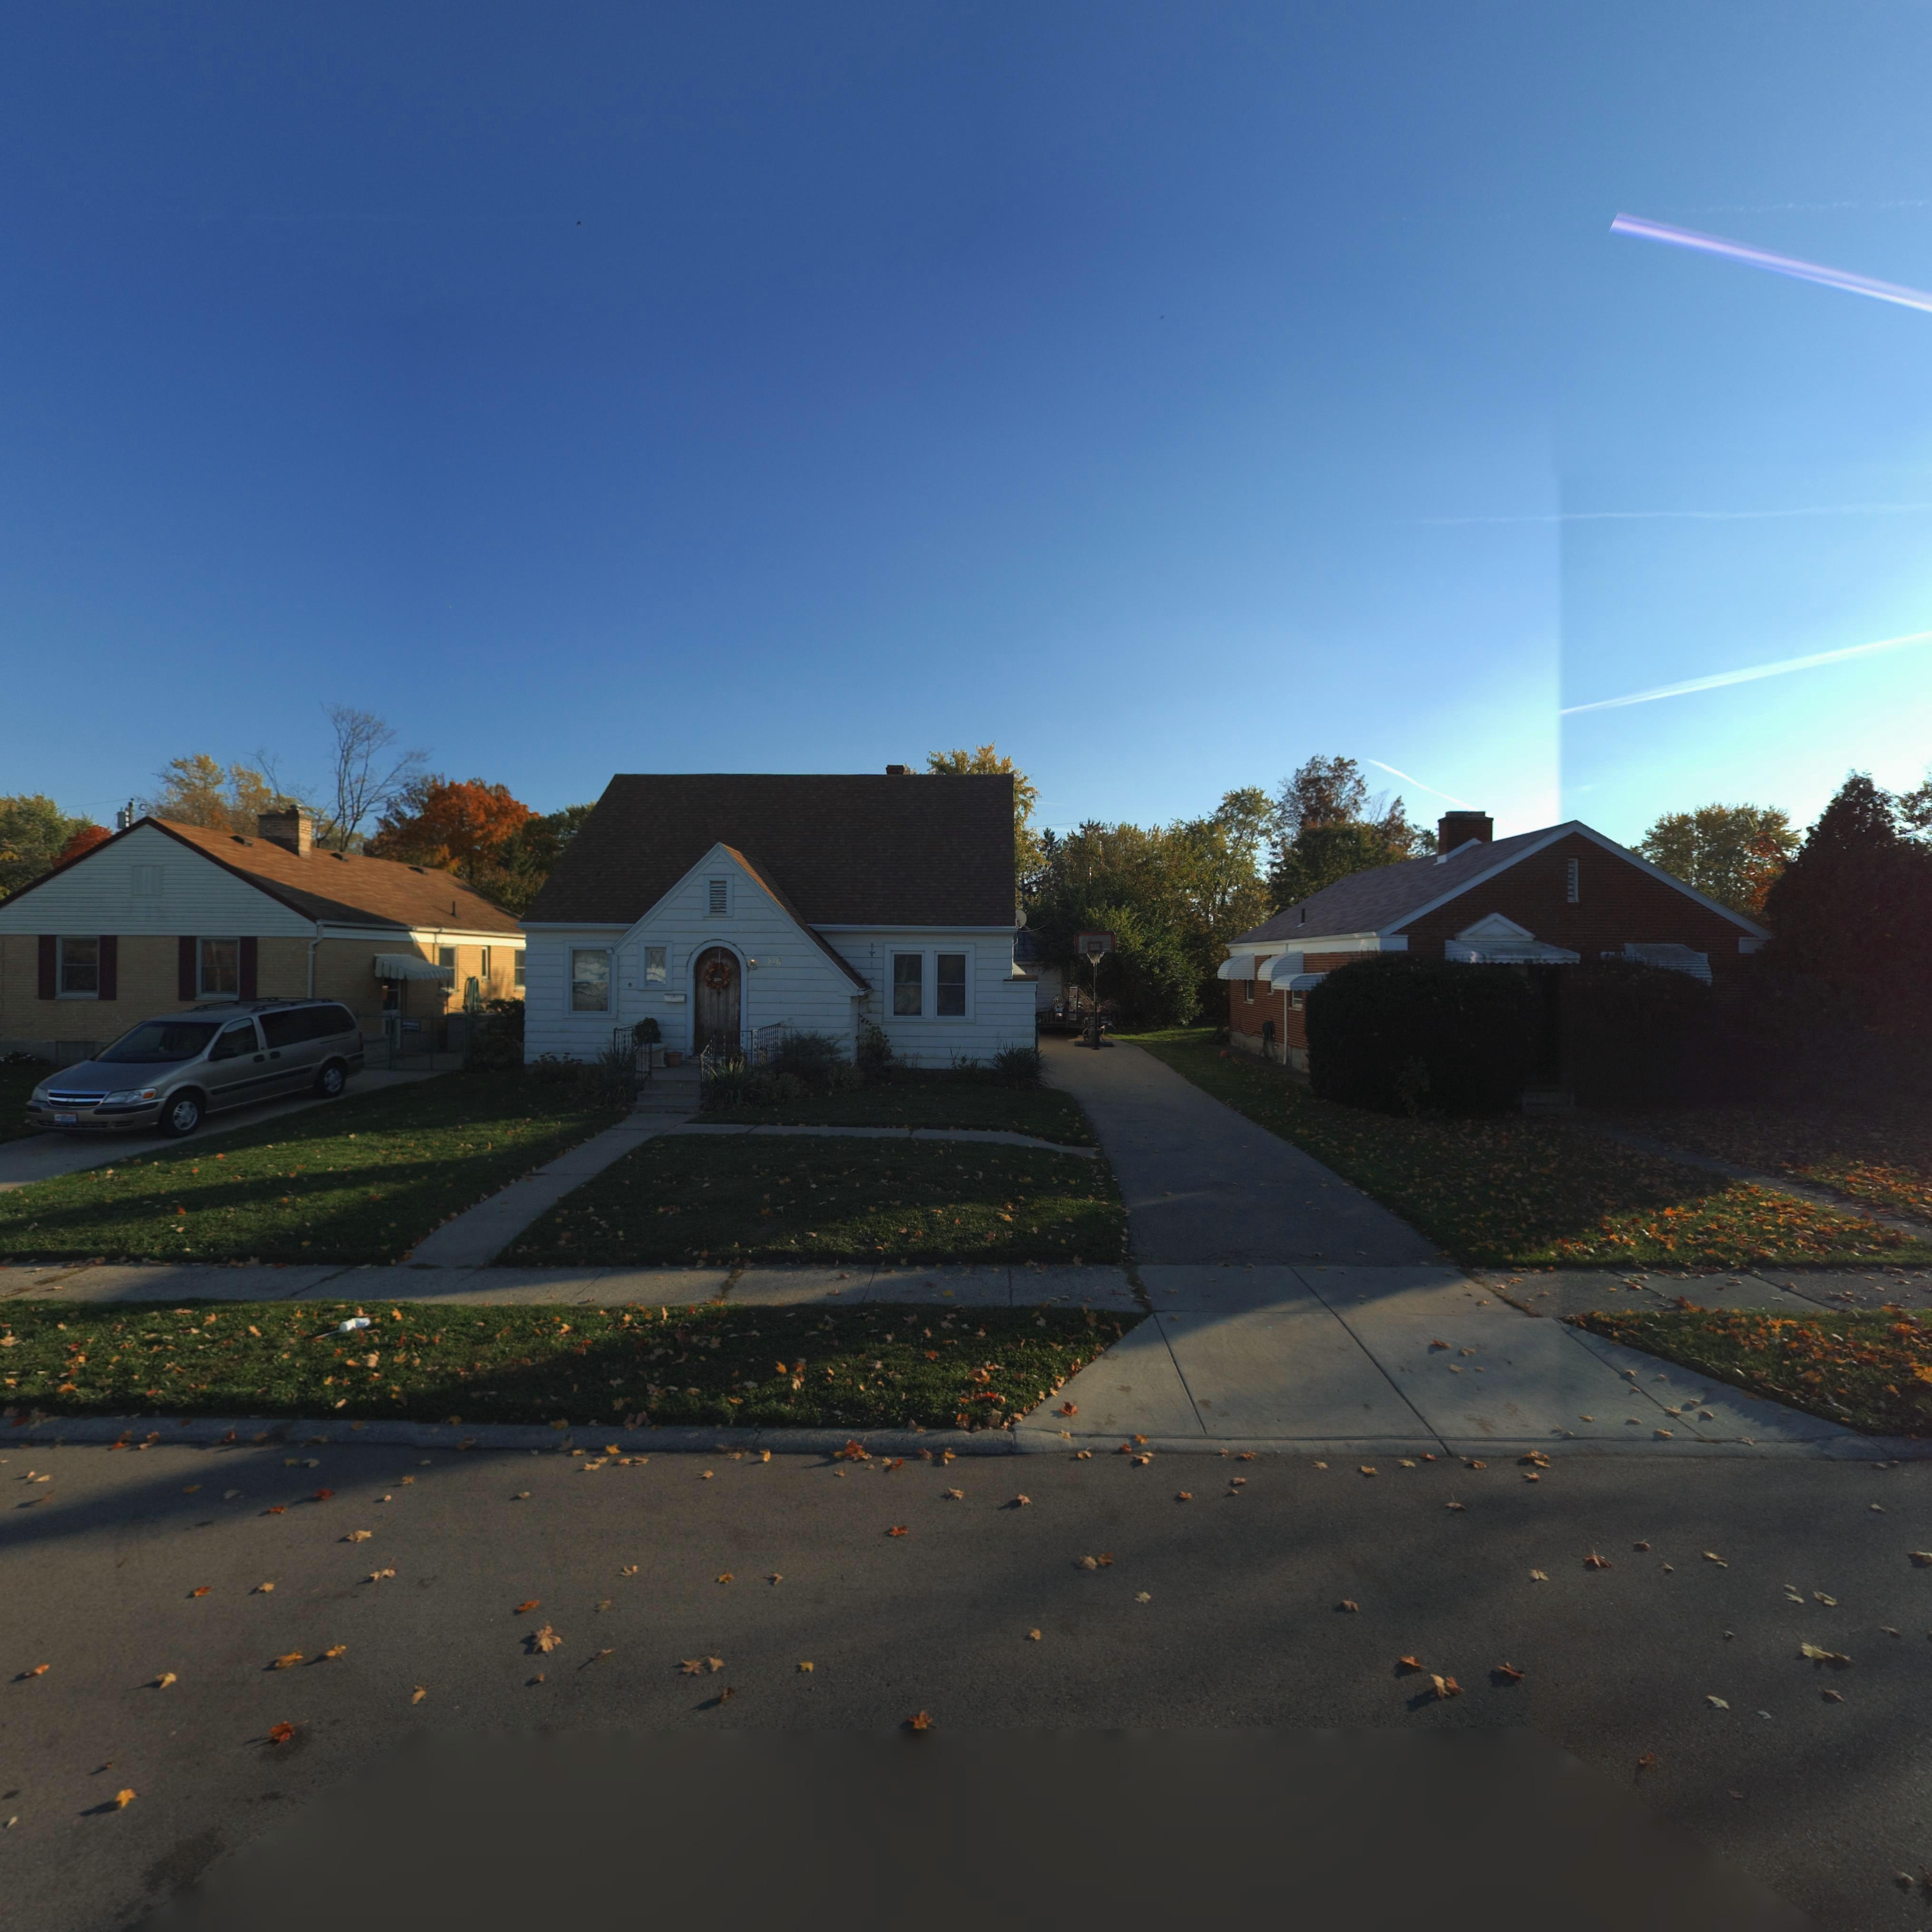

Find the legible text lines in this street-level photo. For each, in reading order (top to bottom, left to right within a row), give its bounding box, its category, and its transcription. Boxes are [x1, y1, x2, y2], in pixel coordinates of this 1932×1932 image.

[766, 956, 783, 966] StreetNumber: 216